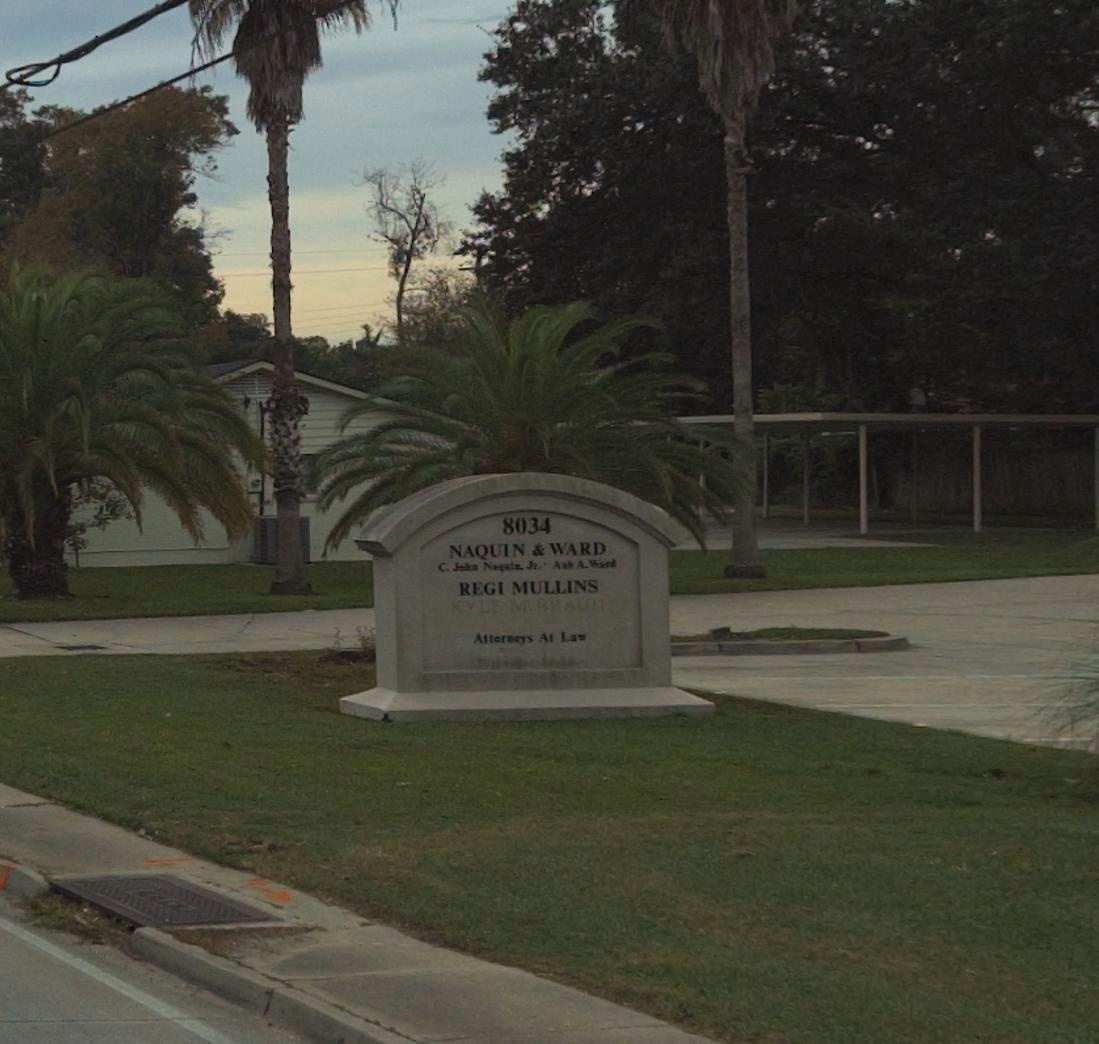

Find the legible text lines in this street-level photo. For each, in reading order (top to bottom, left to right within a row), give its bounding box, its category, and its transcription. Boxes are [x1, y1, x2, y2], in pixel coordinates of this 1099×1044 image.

[501, 516, 552, 536] StreetNumber: 8034
[448, 540, 607, 561] None: NAQUIN & WARD
[435, 558, 616, 573] None: C.John N*g**e Jr. A** A. Ward
[457, 577, 599, 597] None: REGI MULLINS
[450, 597, 610, 616] None: KYLE M. BRA***
[471, 630, 587, 644] None: Attorneys At Law